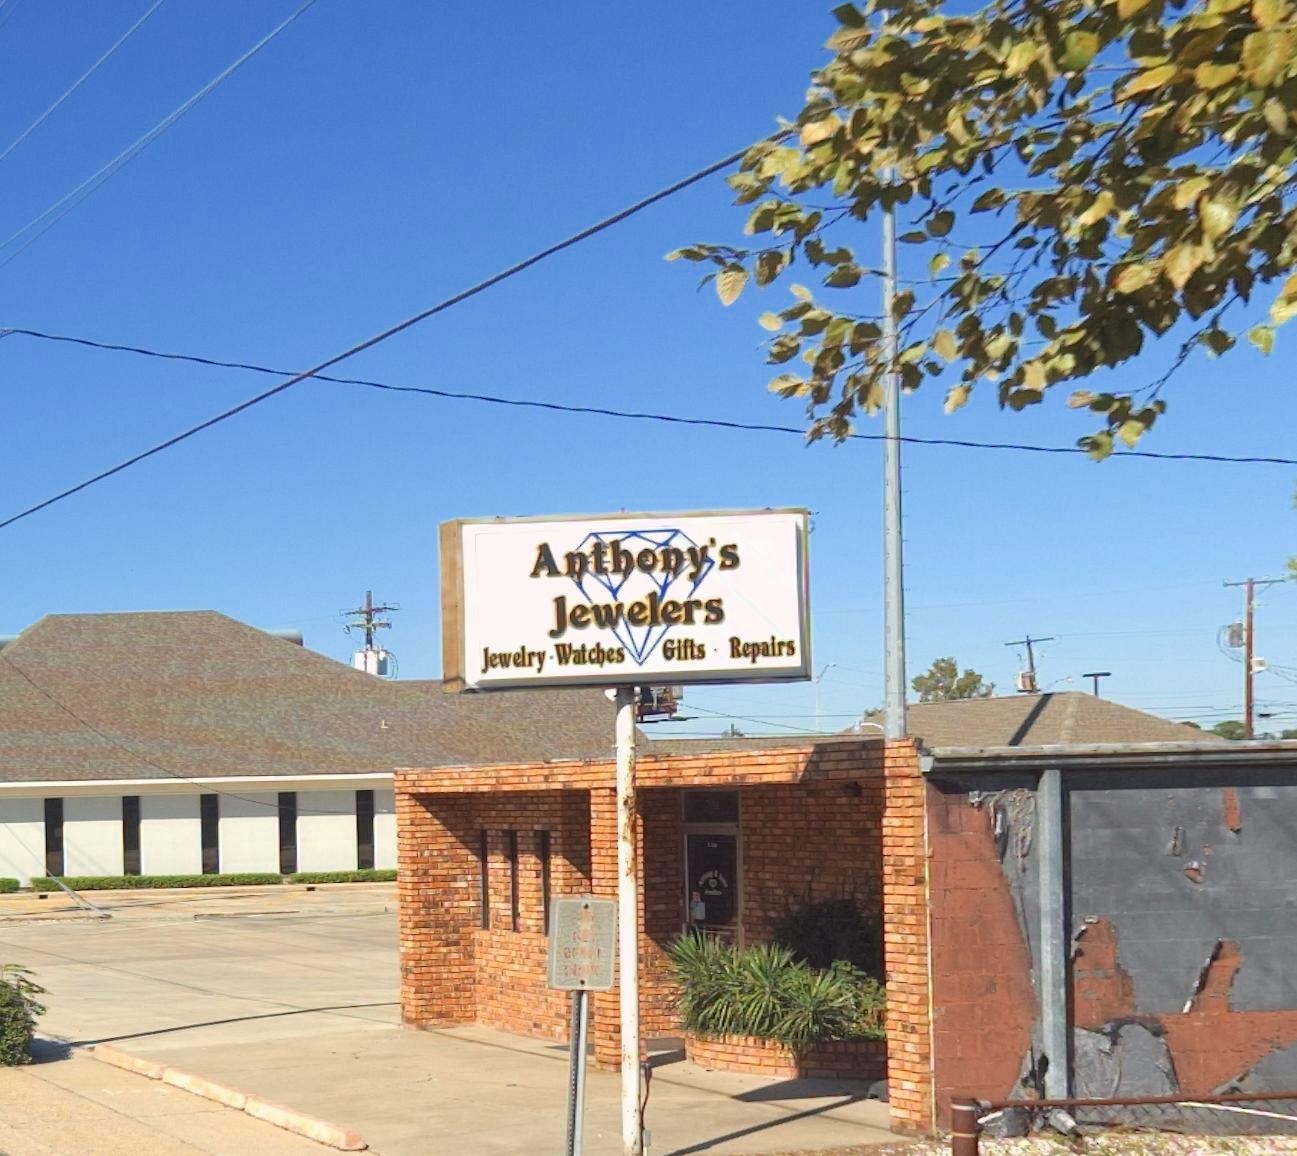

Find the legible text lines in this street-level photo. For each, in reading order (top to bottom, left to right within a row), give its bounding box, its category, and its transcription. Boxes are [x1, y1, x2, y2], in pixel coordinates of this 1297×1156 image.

[527, 536, 742, 579] BusinessName: Anthony's
[548, 589, 725, 639] BusinessName: Jewelers
[480, 634, 797, 675] None: Jewelry - Watches Gifts - Repairs